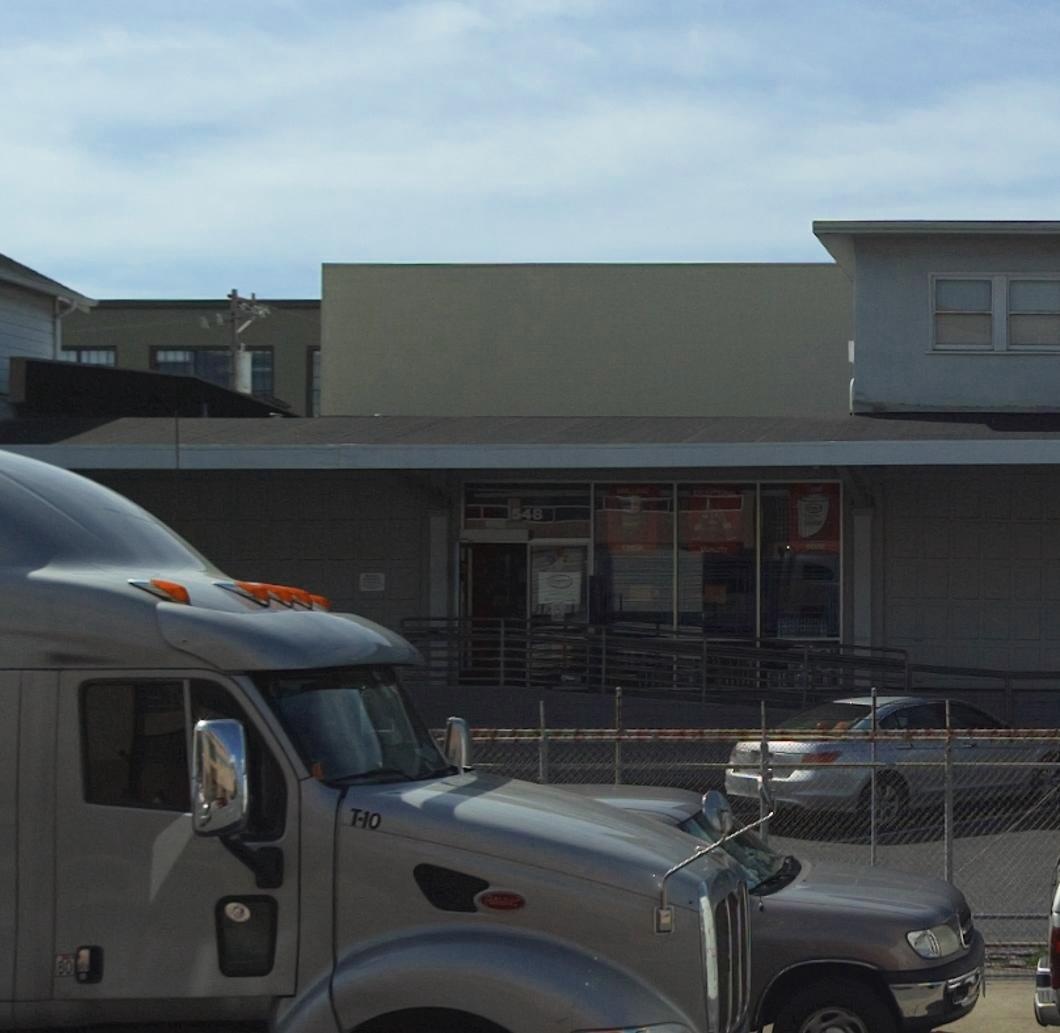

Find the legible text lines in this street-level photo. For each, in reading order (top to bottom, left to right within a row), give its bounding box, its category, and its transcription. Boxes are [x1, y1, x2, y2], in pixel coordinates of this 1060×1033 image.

[509, 504, 545, 524] StreetNumber: 548
[344, 804, 387, 834] None: T-10